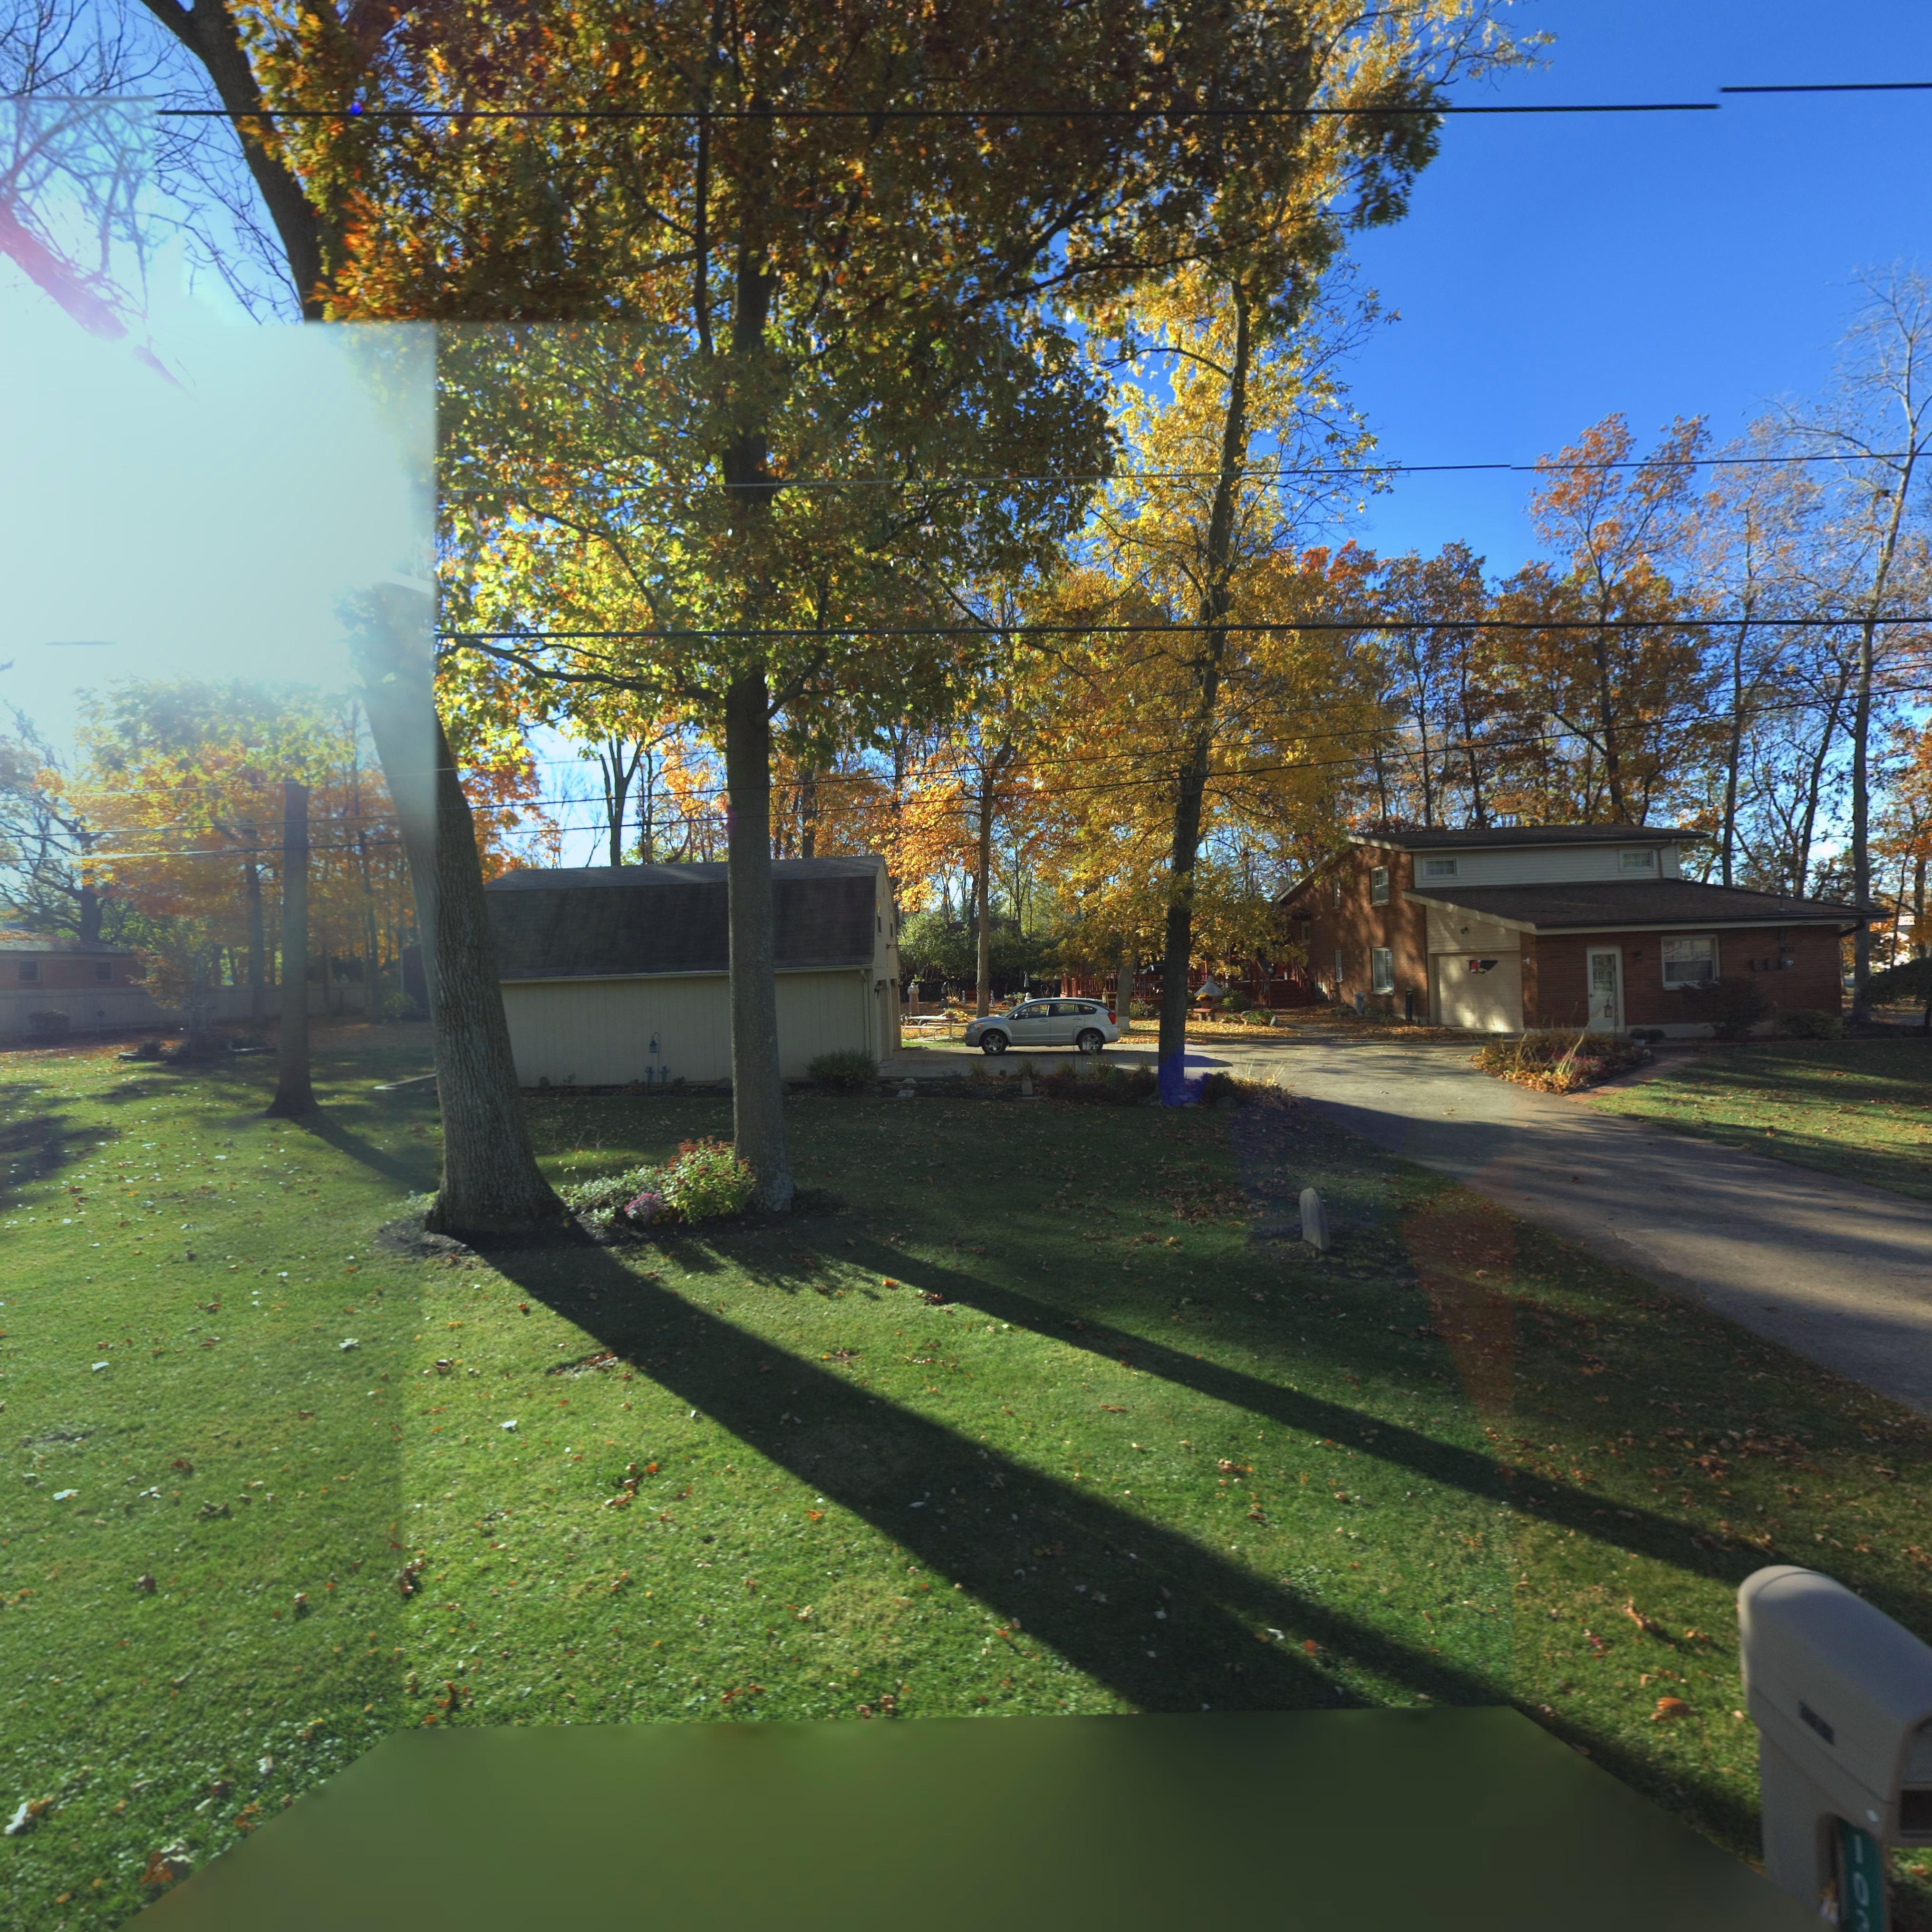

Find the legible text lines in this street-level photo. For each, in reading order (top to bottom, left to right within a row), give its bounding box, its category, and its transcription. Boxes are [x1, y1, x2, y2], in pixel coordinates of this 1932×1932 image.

[1850, 1831, 1874, 1911] StreetNumber: 10